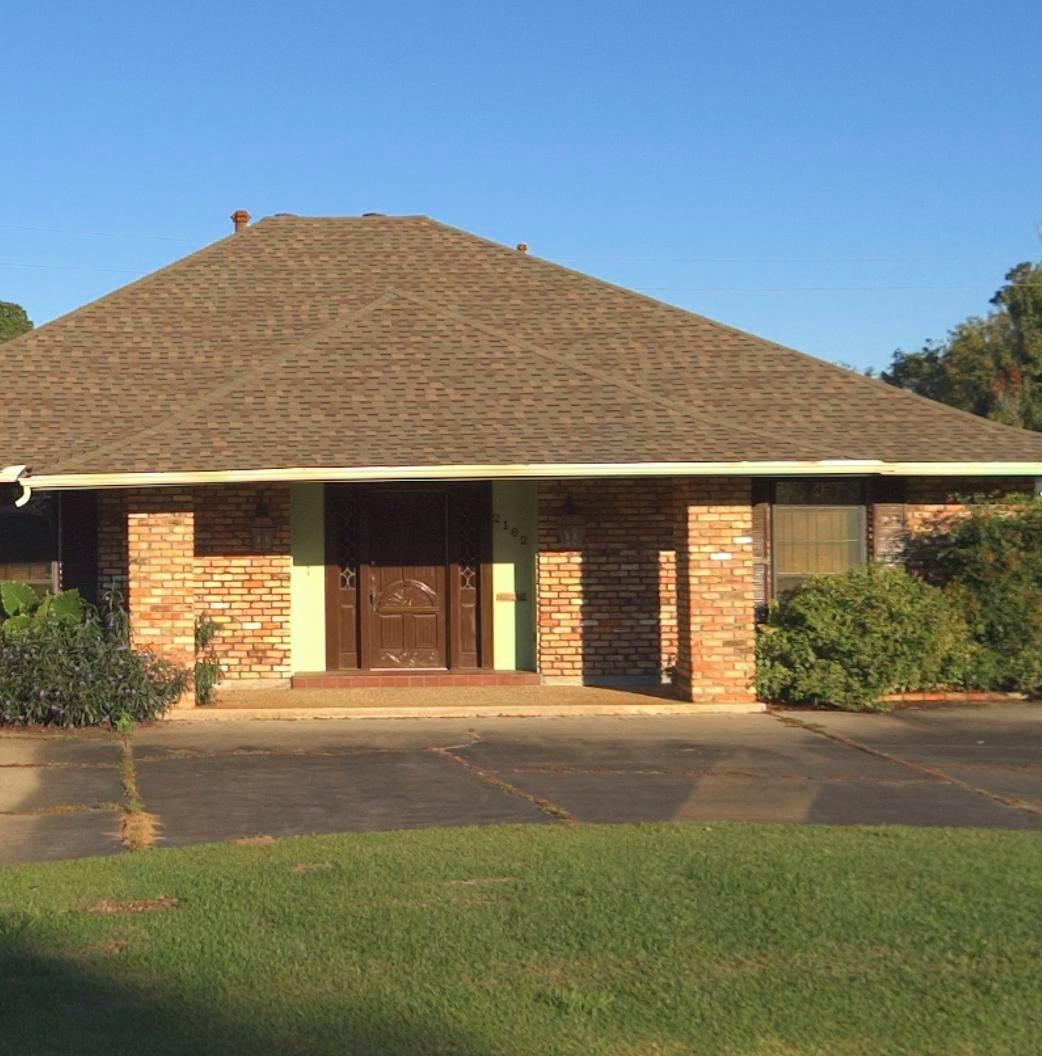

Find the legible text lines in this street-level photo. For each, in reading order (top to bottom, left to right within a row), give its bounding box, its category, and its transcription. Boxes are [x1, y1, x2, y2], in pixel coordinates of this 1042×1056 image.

[492, 512, 531, 548] StreetNumber: 2162